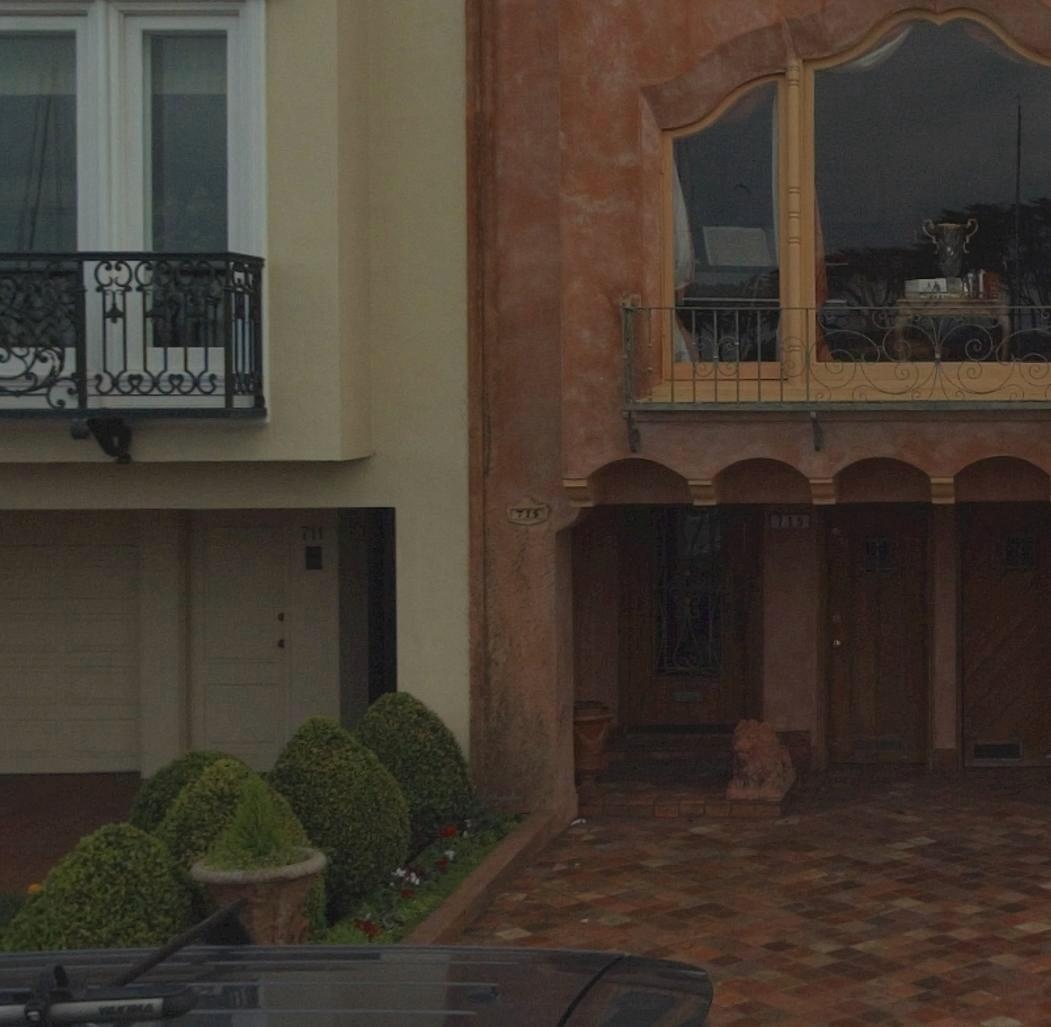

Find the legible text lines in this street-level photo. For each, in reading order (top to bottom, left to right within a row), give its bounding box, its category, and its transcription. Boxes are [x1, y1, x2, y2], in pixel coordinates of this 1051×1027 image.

[514, 508, 542, 520] StreetNumber: 715
[774, 511, 807, 530] StreetNumber: 735
[298, 523, 326, 542] StreetNumber: 711